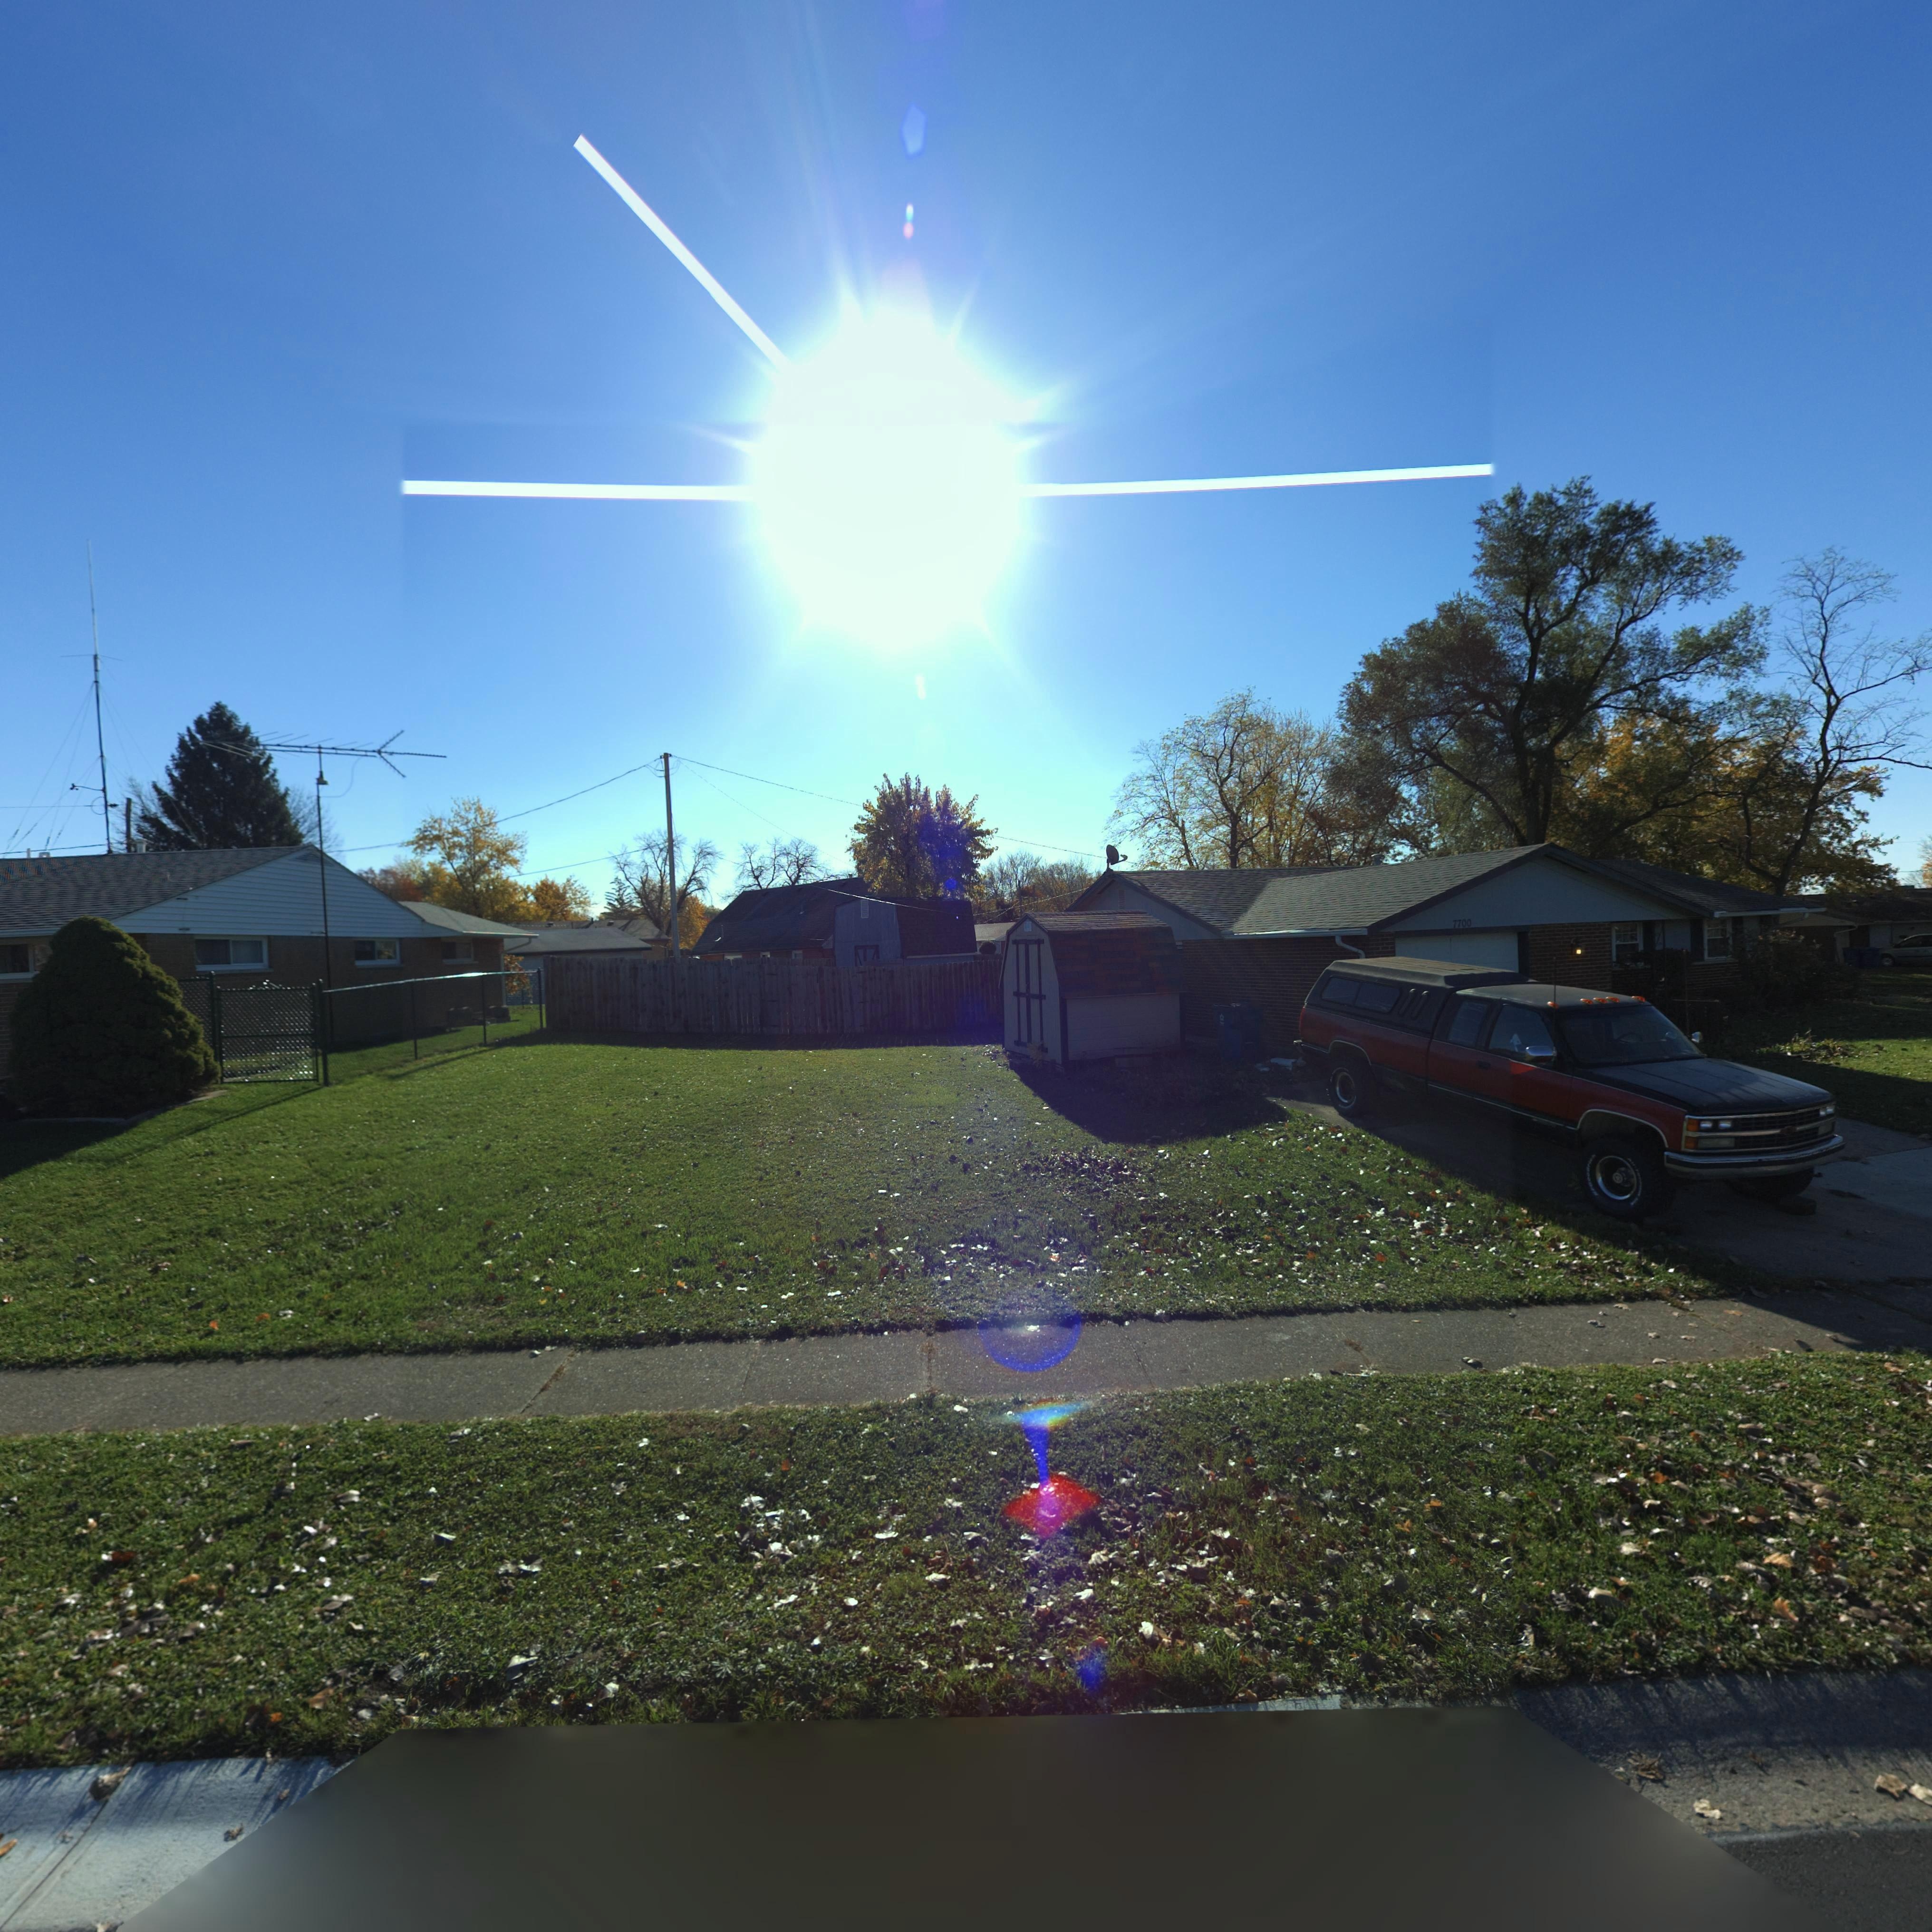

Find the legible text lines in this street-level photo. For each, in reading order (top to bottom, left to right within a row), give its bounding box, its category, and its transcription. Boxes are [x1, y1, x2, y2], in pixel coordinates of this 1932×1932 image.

[1451, 918, 1473, 929] StreetNumber: 7700